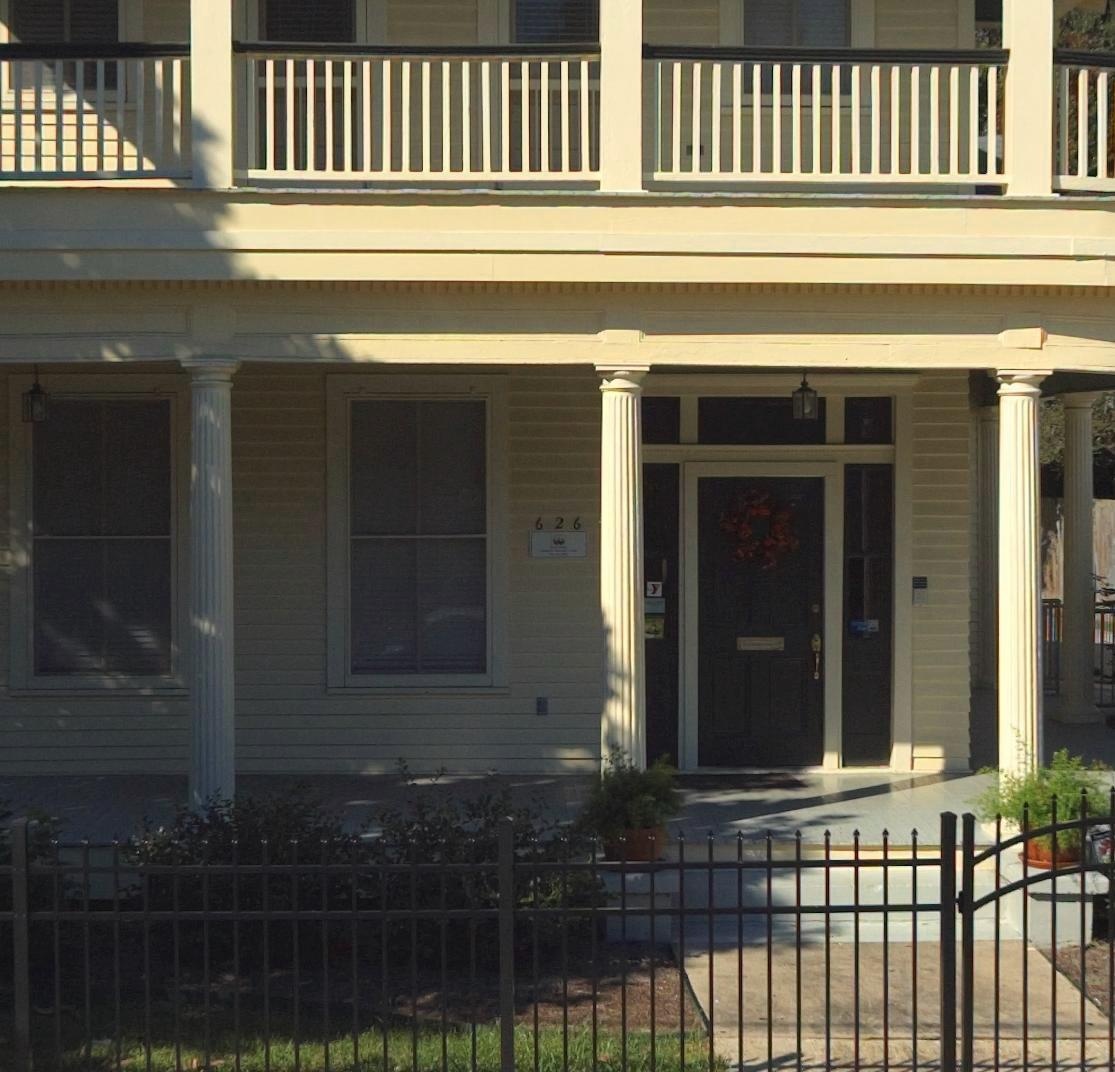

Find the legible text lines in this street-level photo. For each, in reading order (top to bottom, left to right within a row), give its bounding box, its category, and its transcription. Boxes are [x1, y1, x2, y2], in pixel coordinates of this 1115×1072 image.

[532, 514, 584, 533] StreetNumber: 626